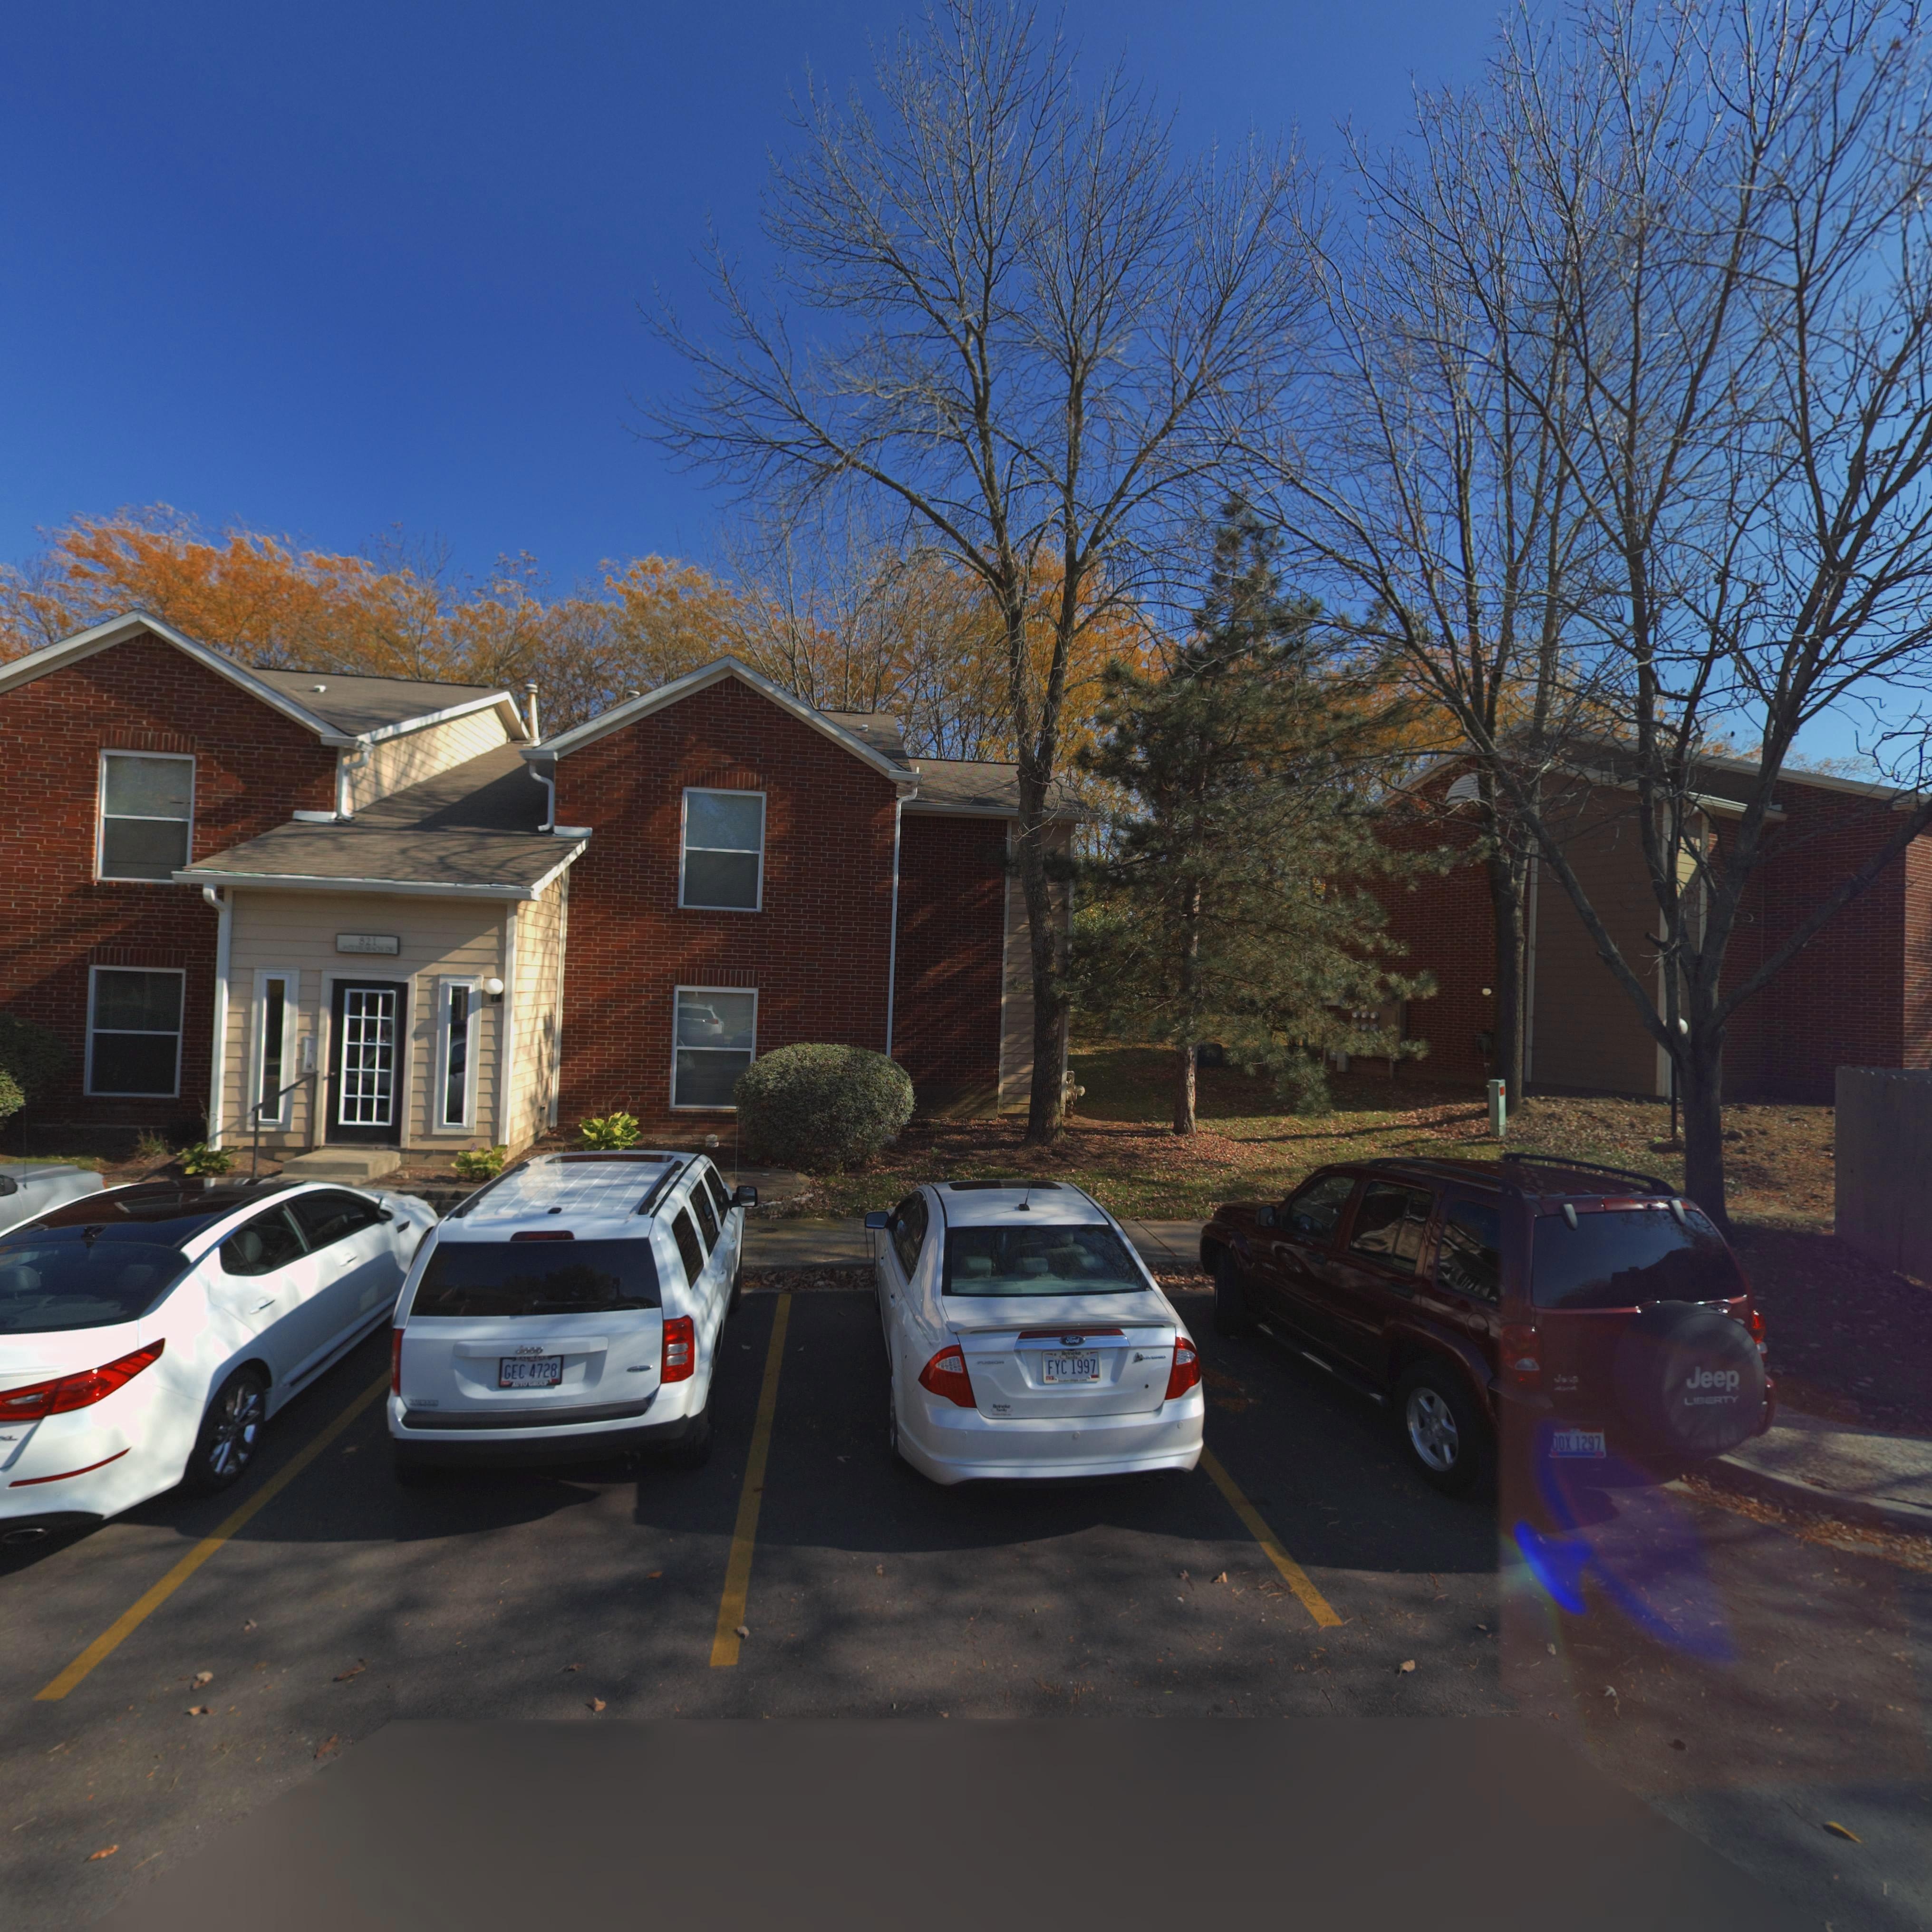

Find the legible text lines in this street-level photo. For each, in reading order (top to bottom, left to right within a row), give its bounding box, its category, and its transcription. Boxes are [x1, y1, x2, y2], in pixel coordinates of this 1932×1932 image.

[357, 935, 379, 947] StreetNumber: 821
[502, 1361, 559, 1381] None: GEC 4728
[1046, 1357, 1098, 1377] None: FYC 1997
[1683, 1362, 1744, 1395] None: Jeep
[1682, 1393, 1741, 1408] None: LIBERTY
[1549, 1433, 1603, 1453] None: *OX 1297